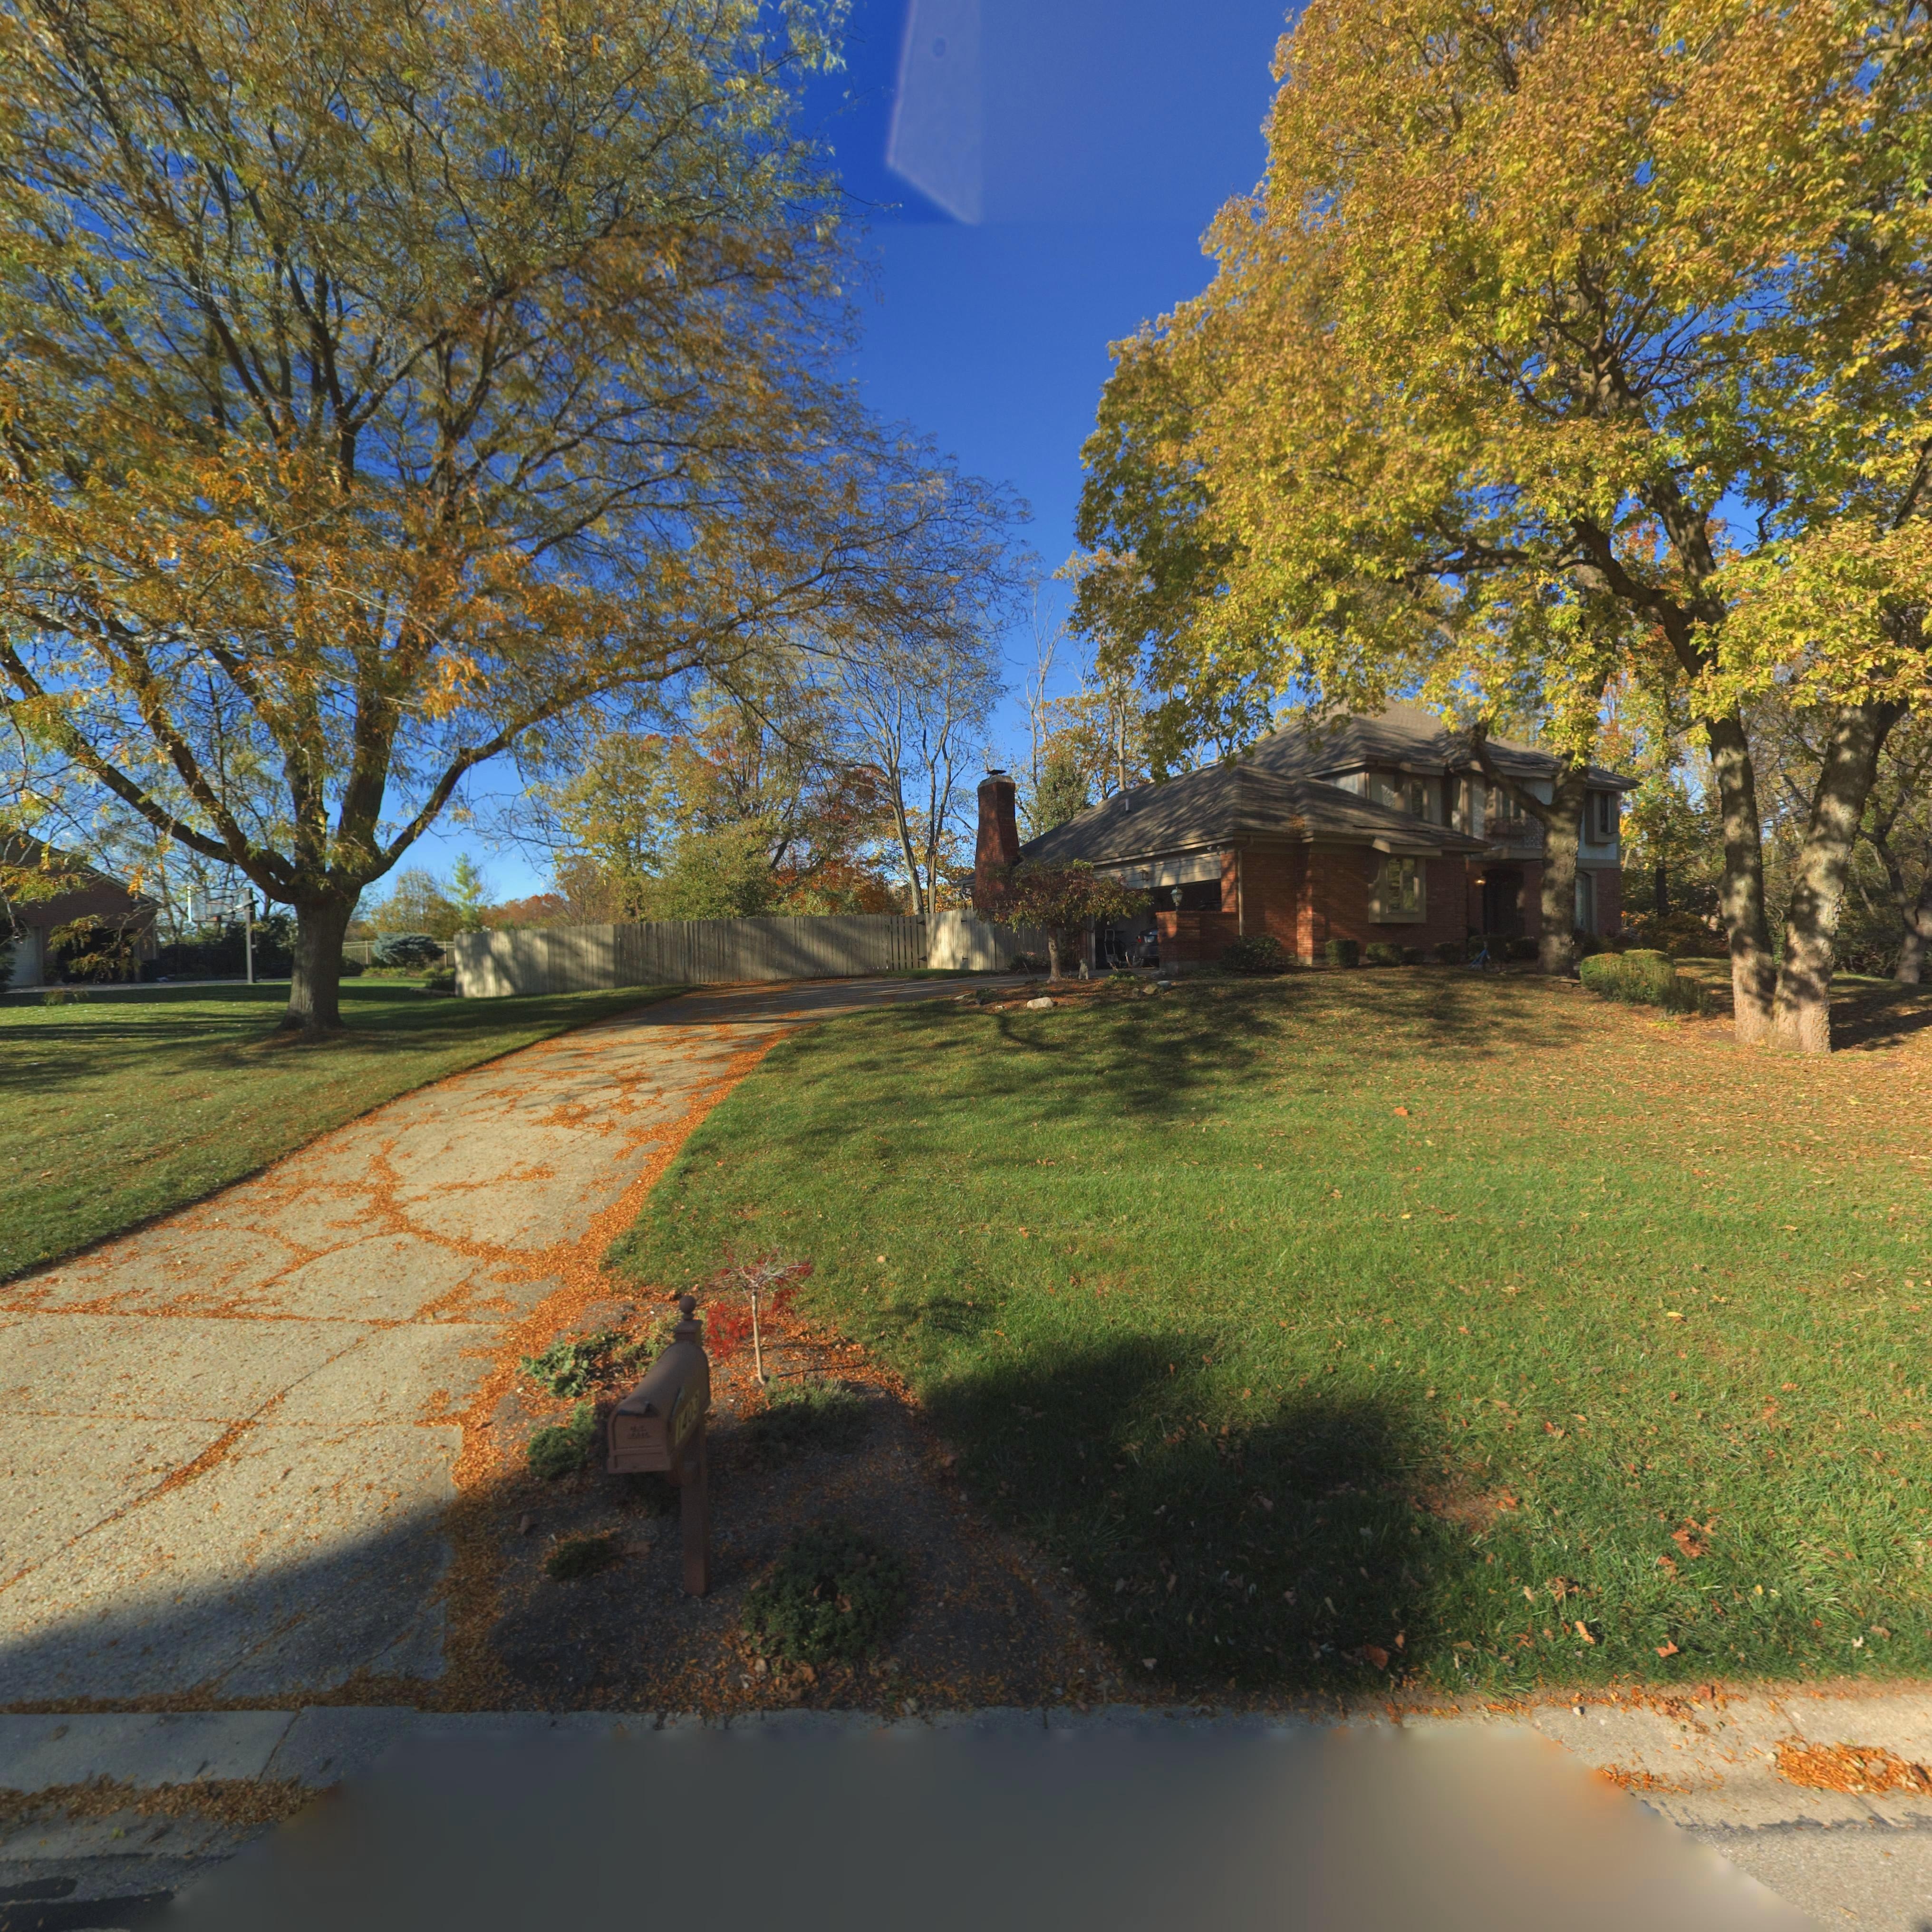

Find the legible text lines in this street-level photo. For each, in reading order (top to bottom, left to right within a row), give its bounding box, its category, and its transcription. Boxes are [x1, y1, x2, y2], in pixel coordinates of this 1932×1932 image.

[676, 1390, 699, 1442] StreetNumber: 1403